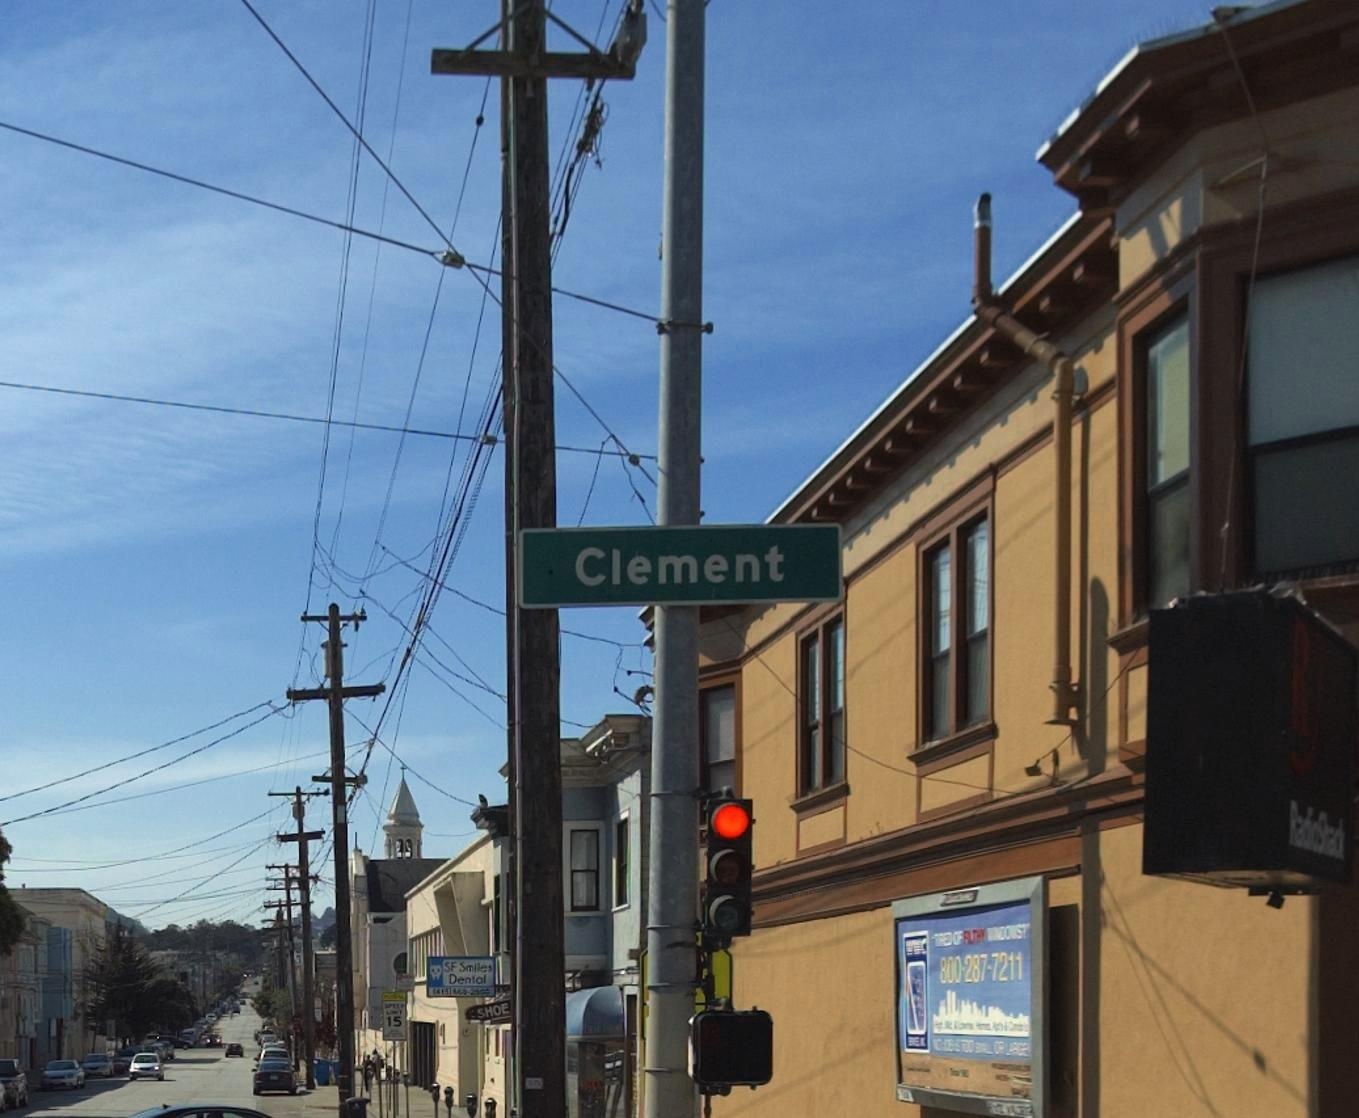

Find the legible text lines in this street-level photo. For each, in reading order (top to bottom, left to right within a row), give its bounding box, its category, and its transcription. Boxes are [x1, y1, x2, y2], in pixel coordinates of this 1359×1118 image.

[574, 539, 790, 593] StreetName: Clement
[1284, 795, 1351, 868] BusinessName: RadioShack
[931, 922, 1031, 950] None: TIRED OF ***** WINDOWS?
[442, 960, 493, 973] BusinessName: SF Smiles\
[934, 947, 1027, 985] None: 800-287-7211
[447, 973, 486, 985] None: Dental
[429, 986, 449, 996] None: (419
[385, 1008, 401, 1014] None: LIMIT
[385, 1015, 402, 1027] None: 15
[384, 1003, 404, 1008] None: SPEED
[474, 1001, 511, 1021] None: SHOE
[931, 1034, 1033, 1061] None: NO JOB IS TOO SMALL OR LARGE!